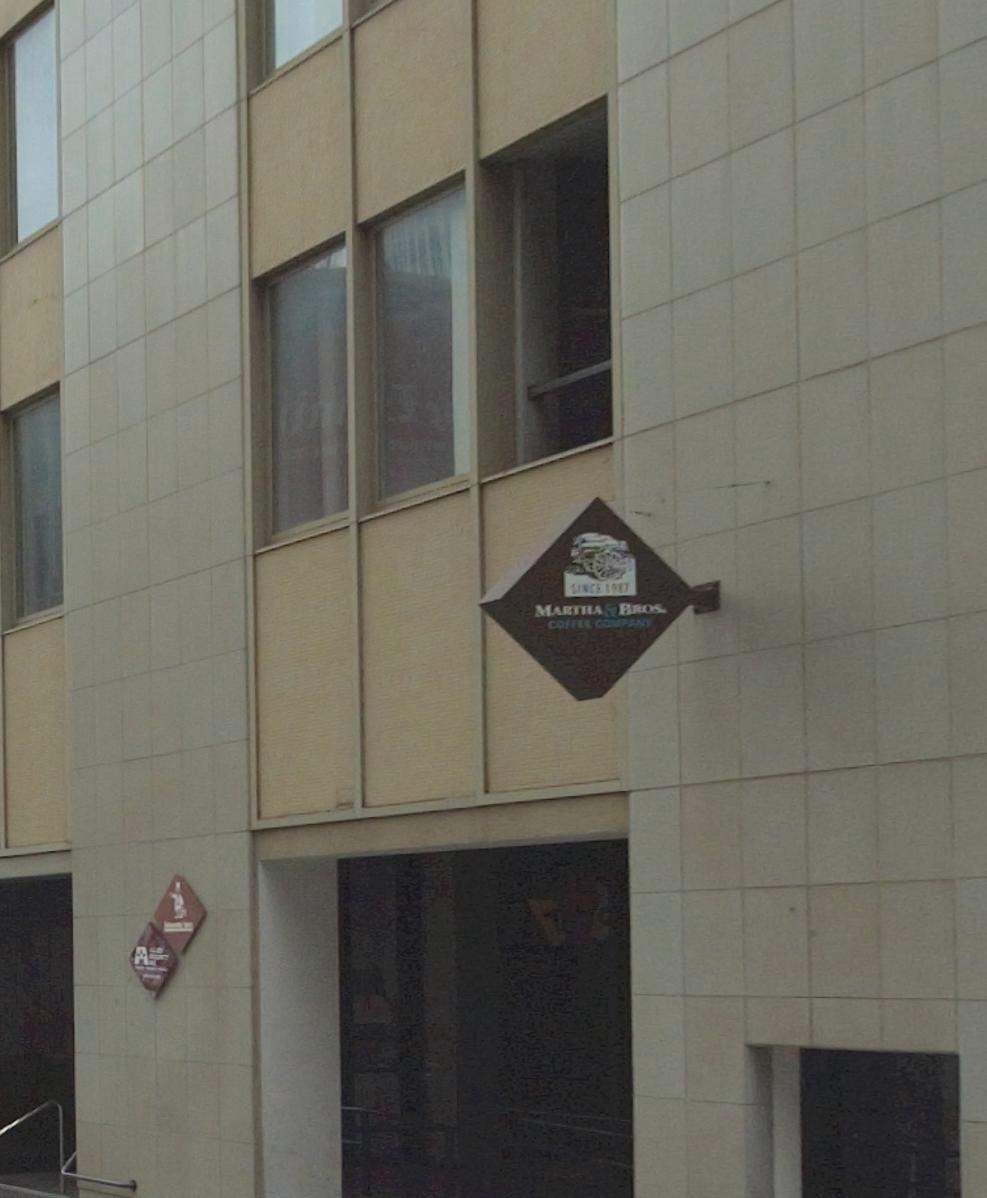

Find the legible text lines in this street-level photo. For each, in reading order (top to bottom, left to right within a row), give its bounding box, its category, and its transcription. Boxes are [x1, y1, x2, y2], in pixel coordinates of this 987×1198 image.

[568, 580, 633, 596] None: SINCE 1987
[531, 599, 670, 621] BusinessName: MARTHA & BROS.
[545, 616, 655, 631] BusinessName: COFFEE COMPANY